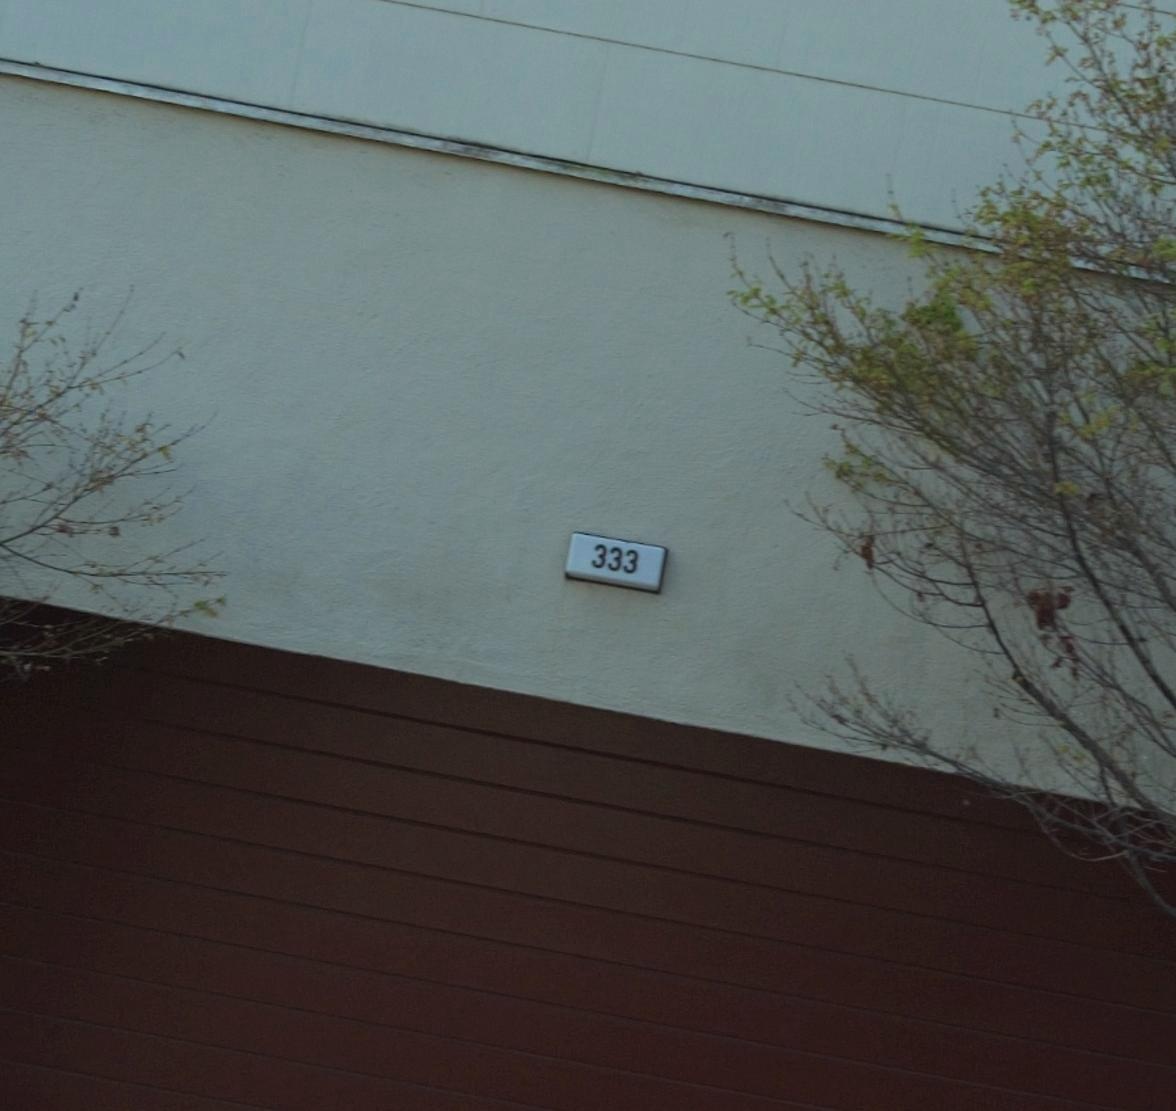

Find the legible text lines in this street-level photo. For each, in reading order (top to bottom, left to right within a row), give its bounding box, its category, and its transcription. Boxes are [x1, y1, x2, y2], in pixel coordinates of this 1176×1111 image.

[589, 541, 643, 577] StreetNumber: 333